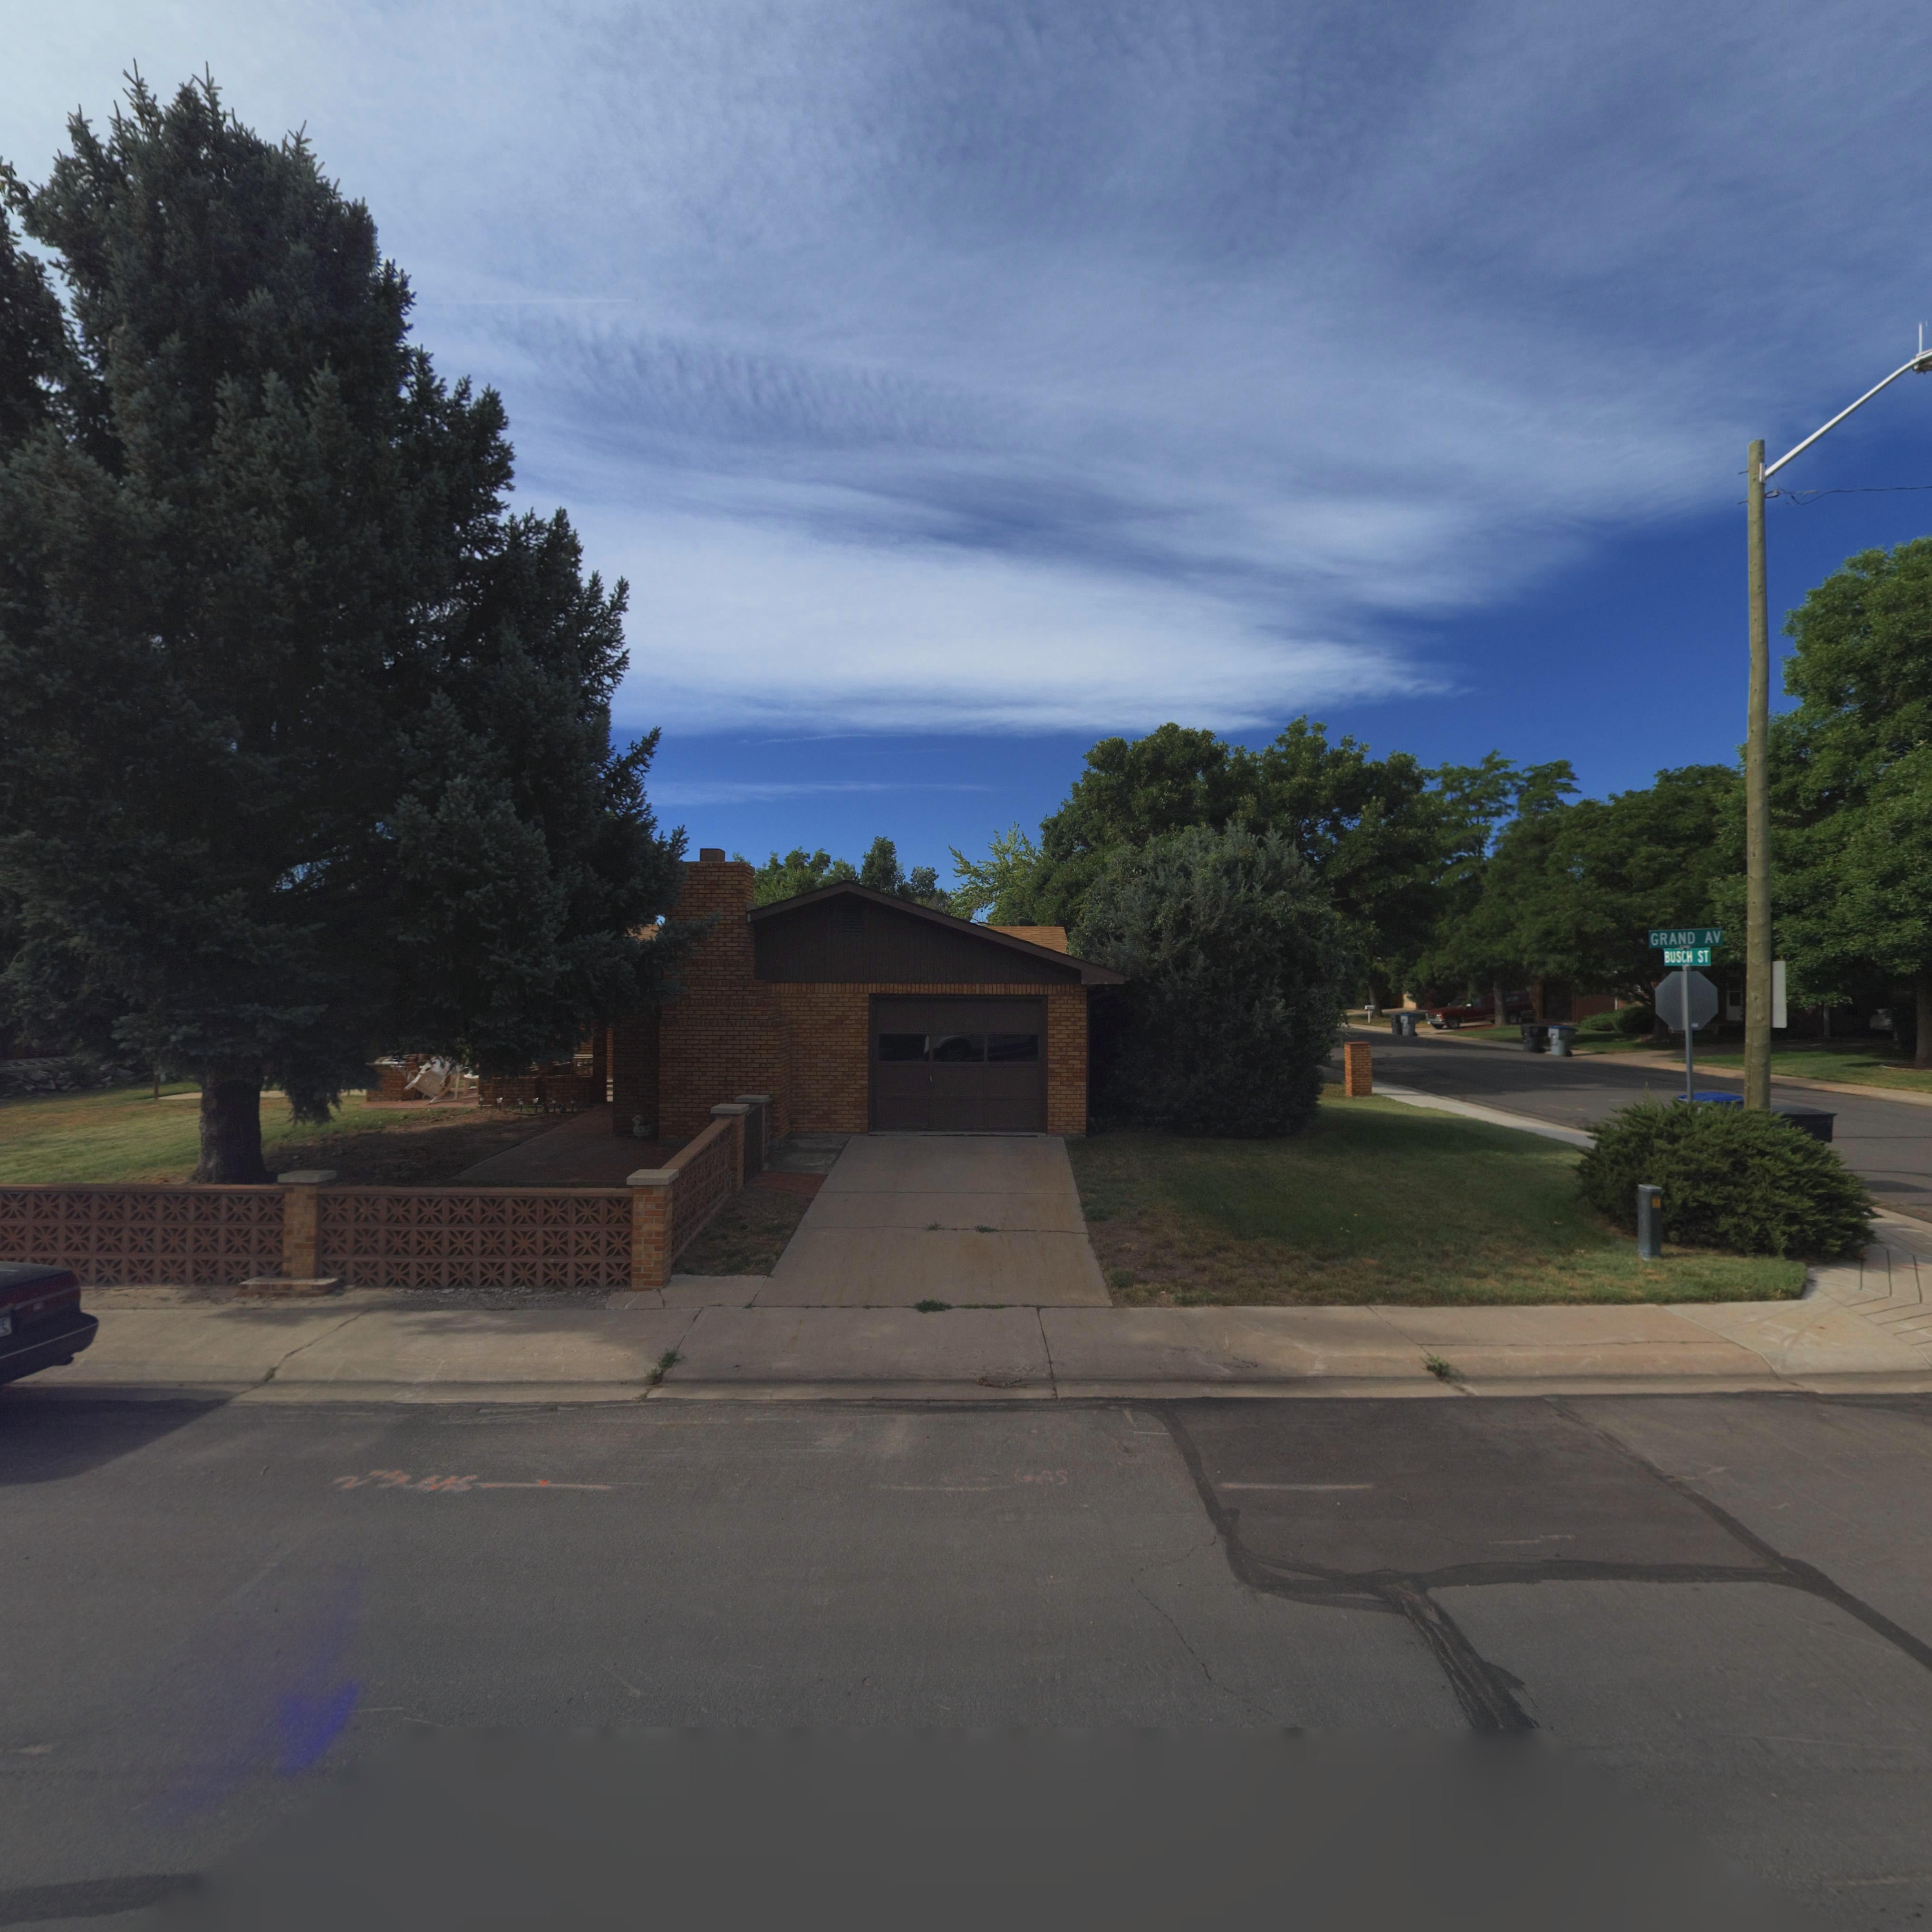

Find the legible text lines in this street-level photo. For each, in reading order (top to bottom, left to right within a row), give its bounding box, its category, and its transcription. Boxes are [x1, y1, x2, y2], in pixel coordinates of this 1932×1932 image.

[1650, 930, 1722, 946] StreetName: GRAND AV
[1663, 950, 1710, 963] StreetName: BUSCH ST